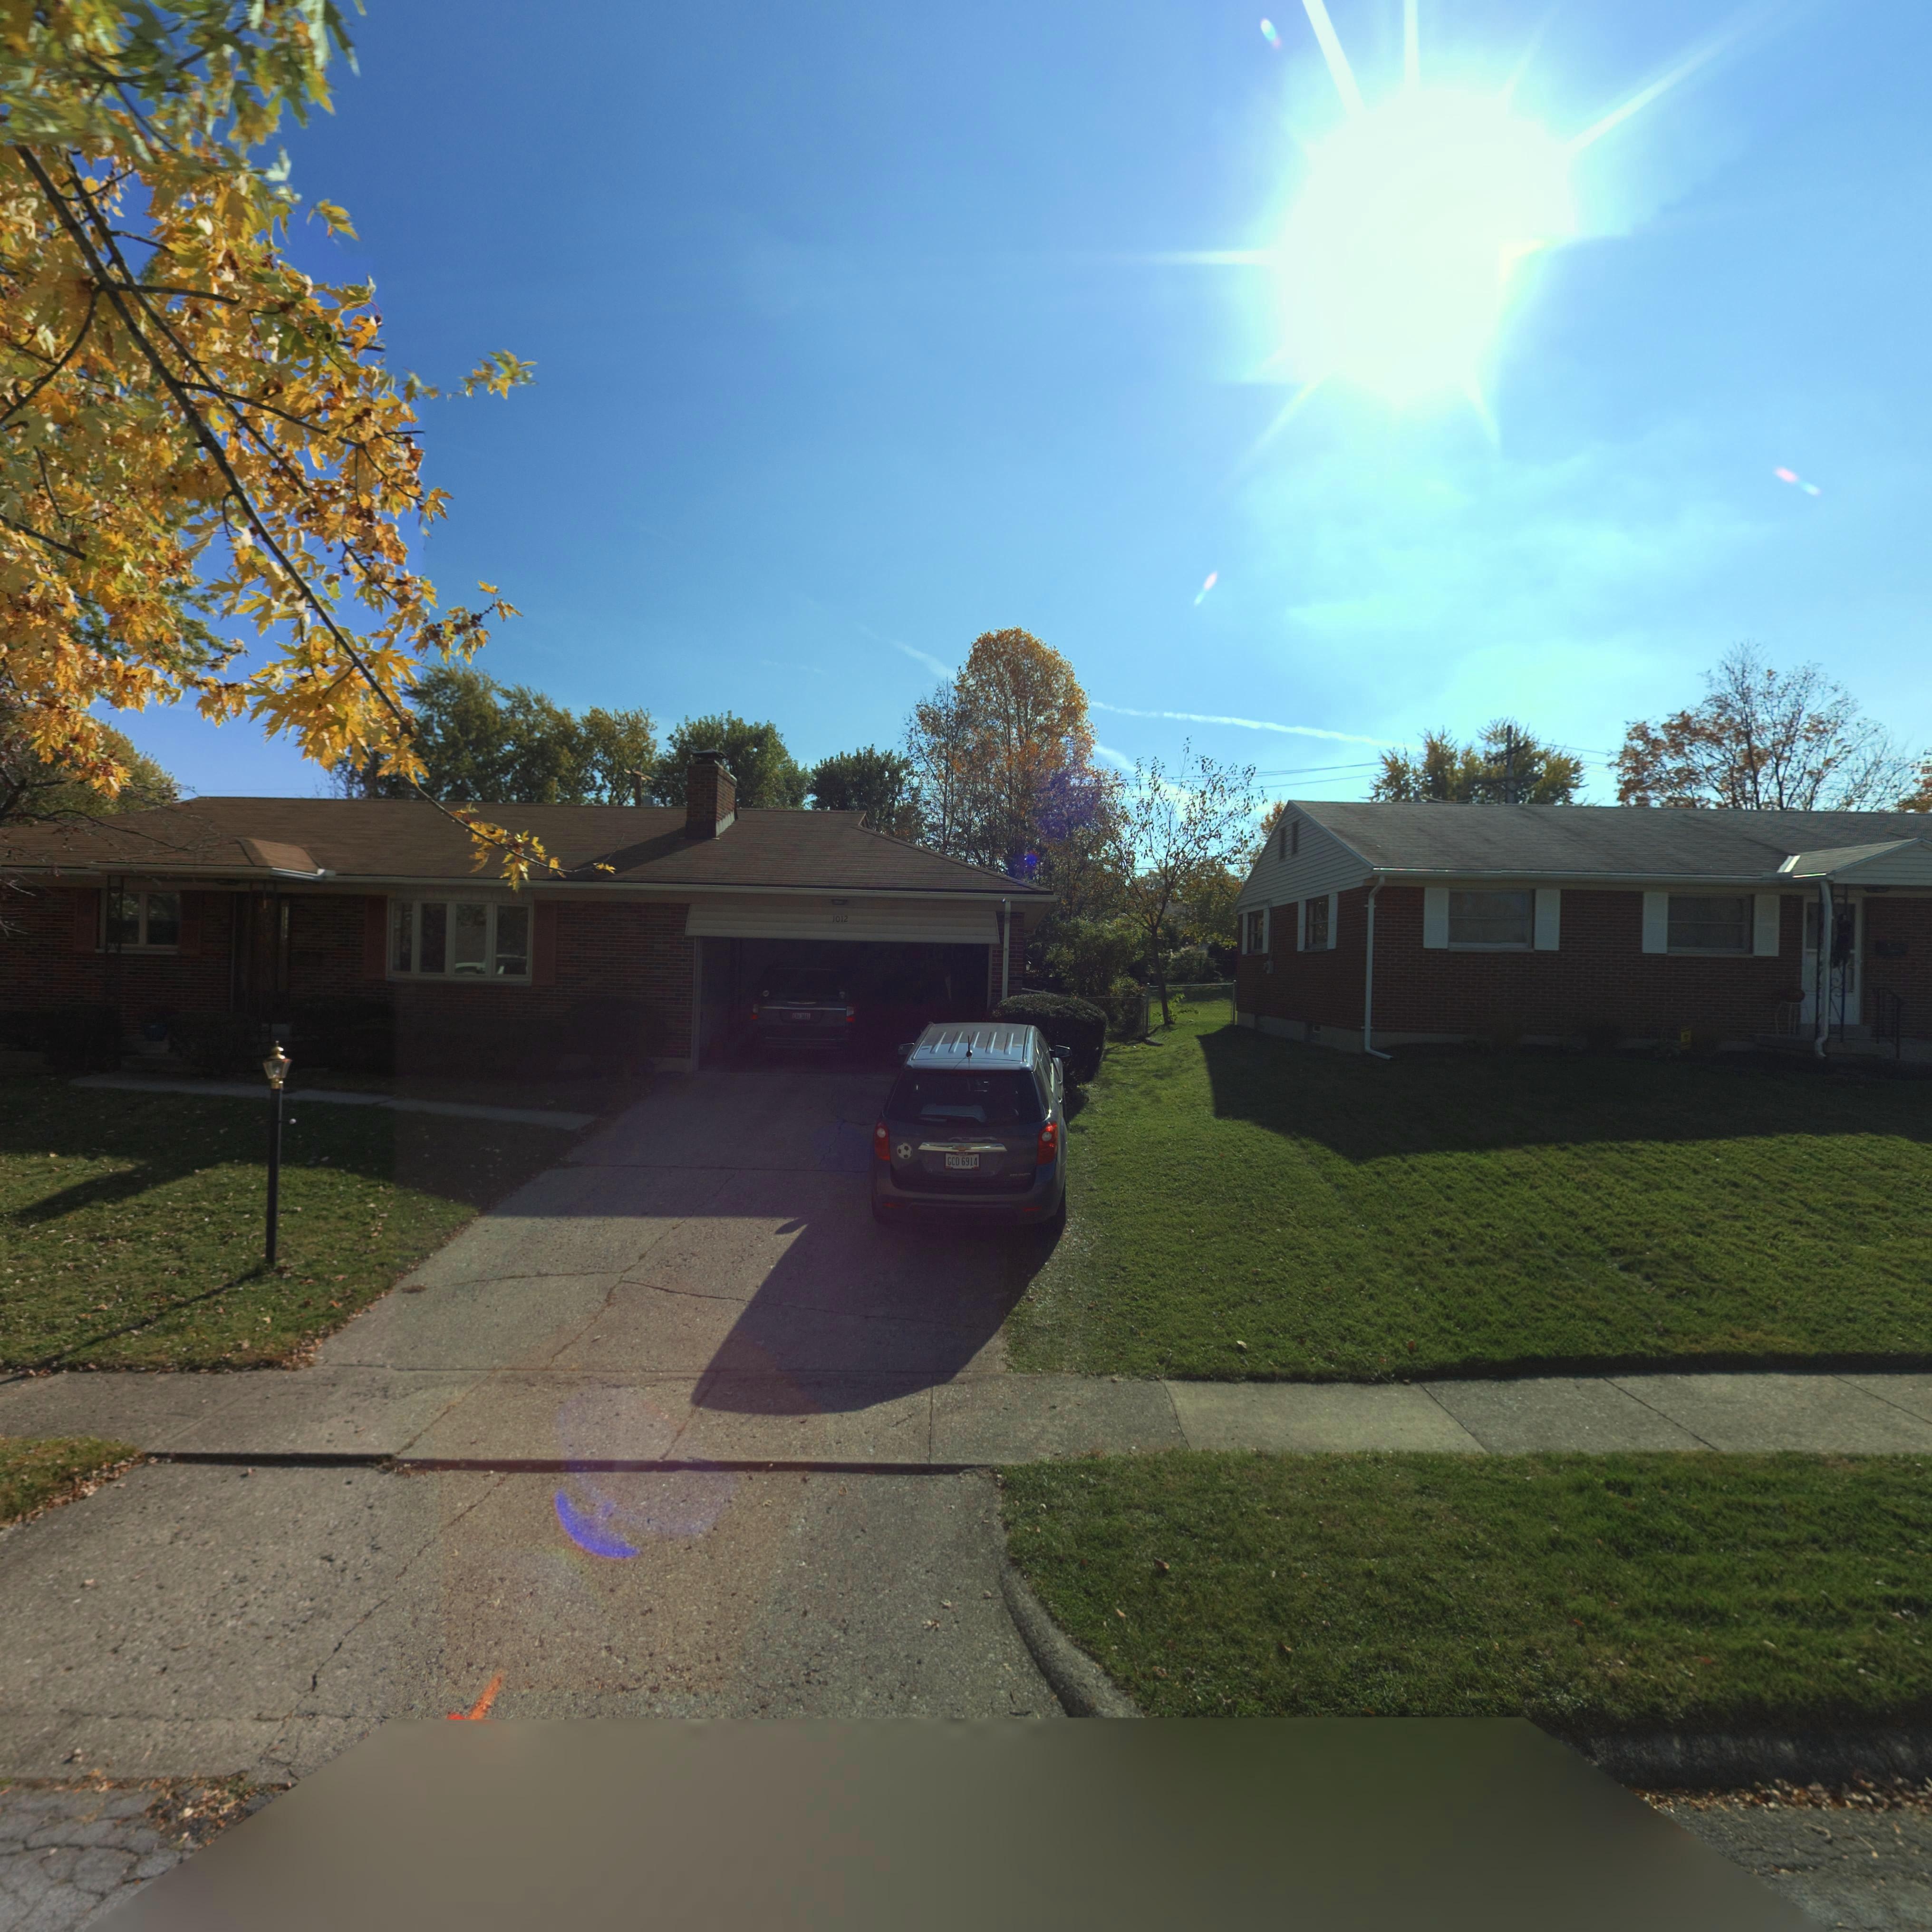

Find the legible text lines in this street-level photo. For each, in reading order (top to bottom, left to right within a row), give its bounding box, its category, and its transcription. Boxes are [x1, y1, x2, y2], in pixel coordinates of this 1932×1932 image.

[832, 914, 849, 923] StreetNumber: 1012
[947, 1155, 979, 1168] None: GCD 6914